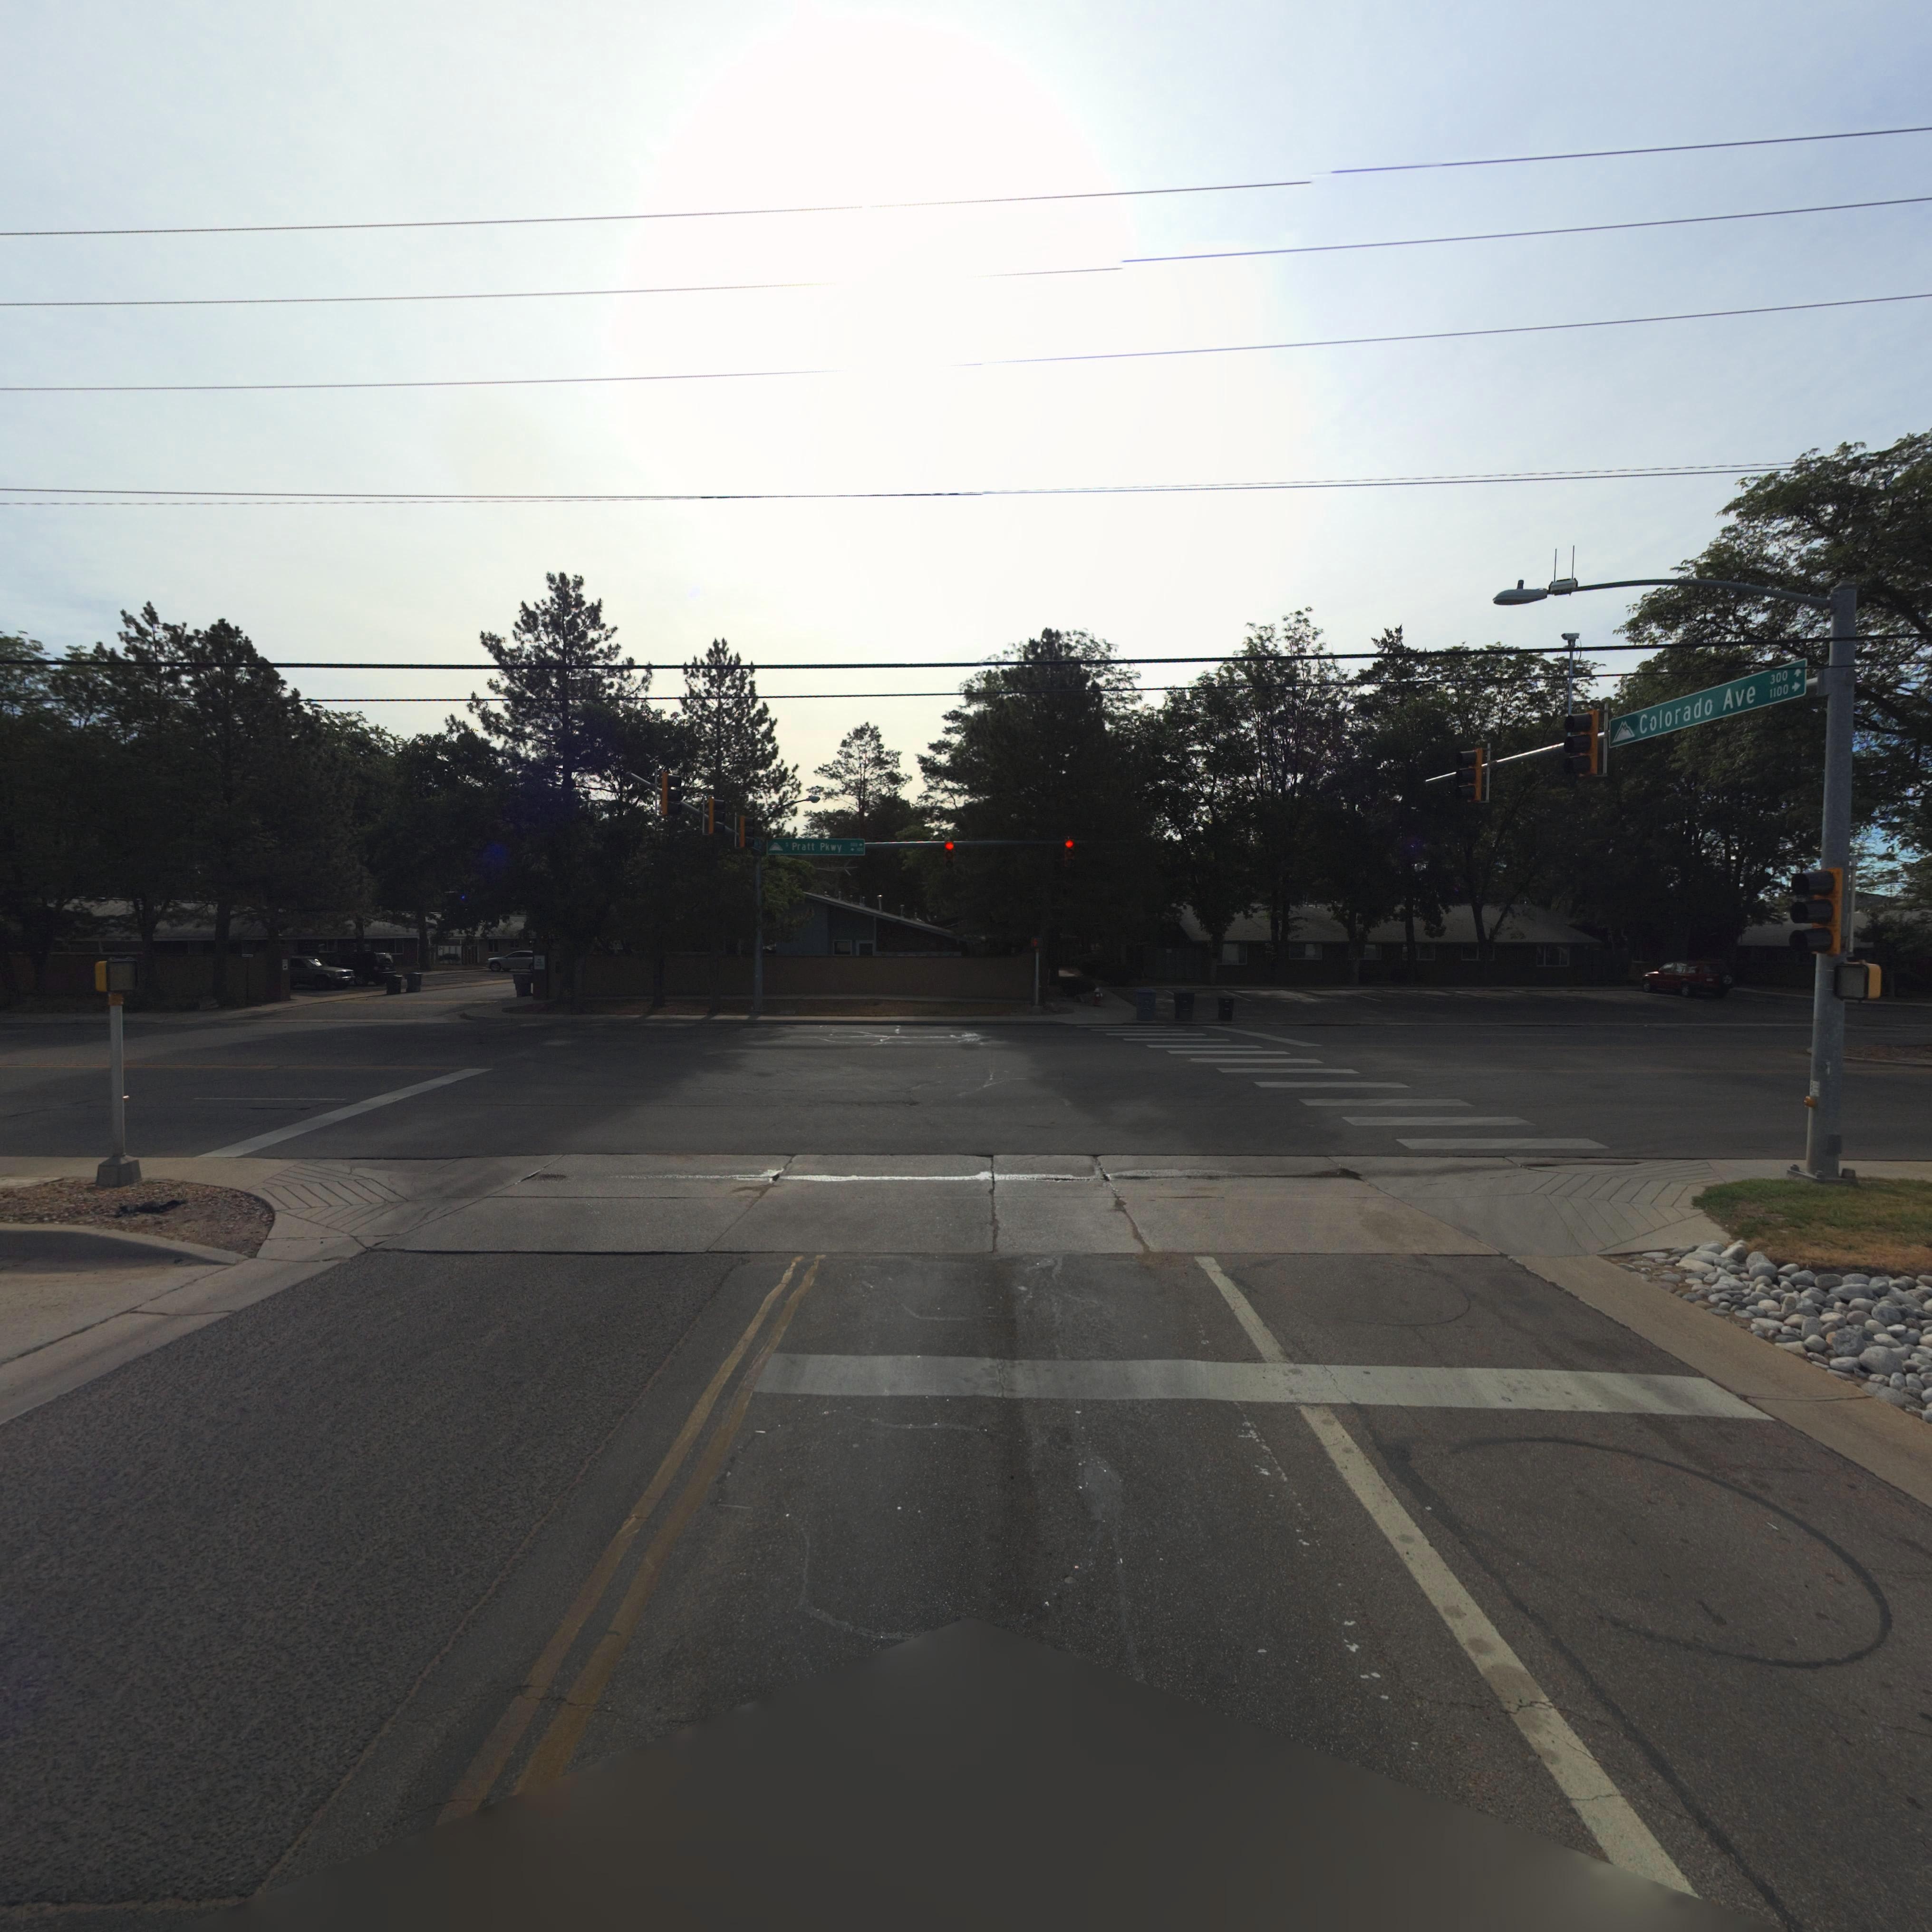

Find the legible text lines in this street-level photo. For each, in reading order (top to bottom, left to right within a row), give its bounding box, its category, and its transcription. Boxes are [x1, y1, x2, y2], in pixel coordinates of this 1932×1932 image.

[1770, 669, 1787, 685] StreetNumberRange: 300
[1769, 681, 1802, 698] StreetNumberRange: 1100->
[1639, 686, 1756, 734] StreetName: Colorado Ave
[785, 842, 842, 853] StreetName: * Pratt Pkwy
[849, 842, 858, 847] StreetNumberRange: *0*
[856, 847, 863, 851] StreetNumberRange: 100